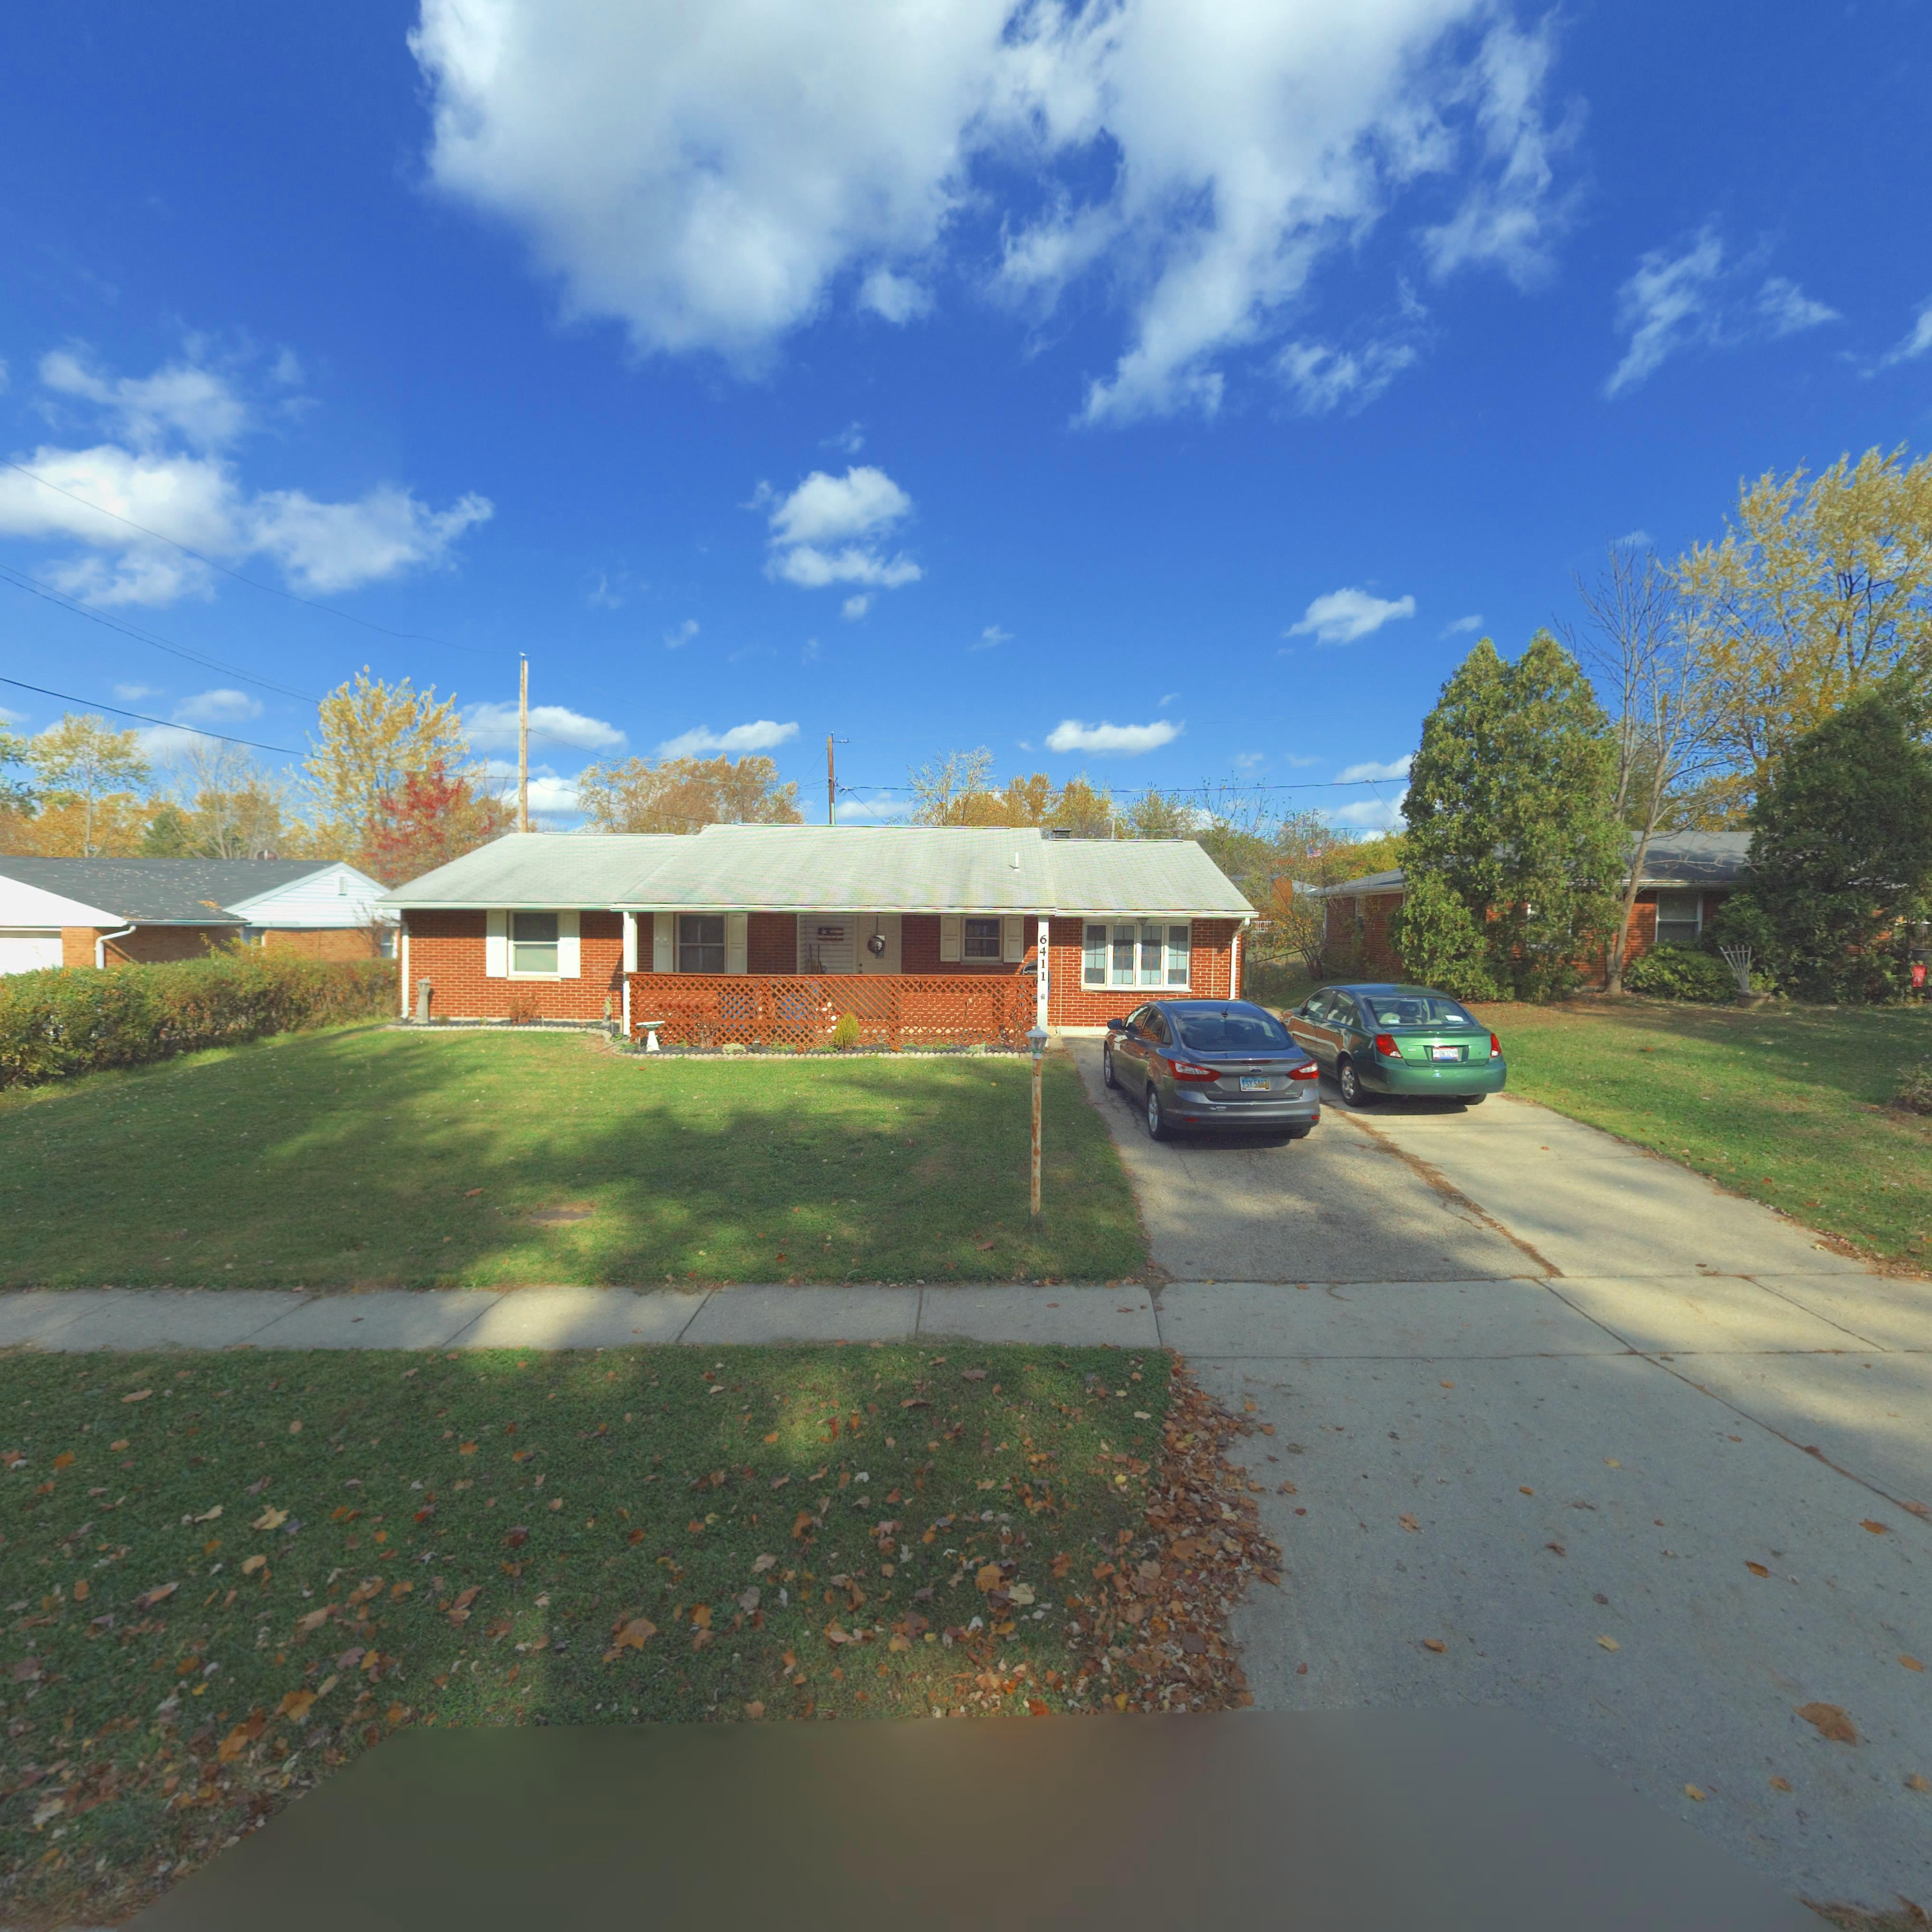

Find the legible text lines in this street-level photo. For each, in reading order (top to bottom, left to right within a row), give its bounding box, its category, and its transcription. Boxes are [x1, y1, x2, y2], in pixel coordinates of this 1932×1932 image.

[1039, 934, 1047, 982] StreetNumber: 6411